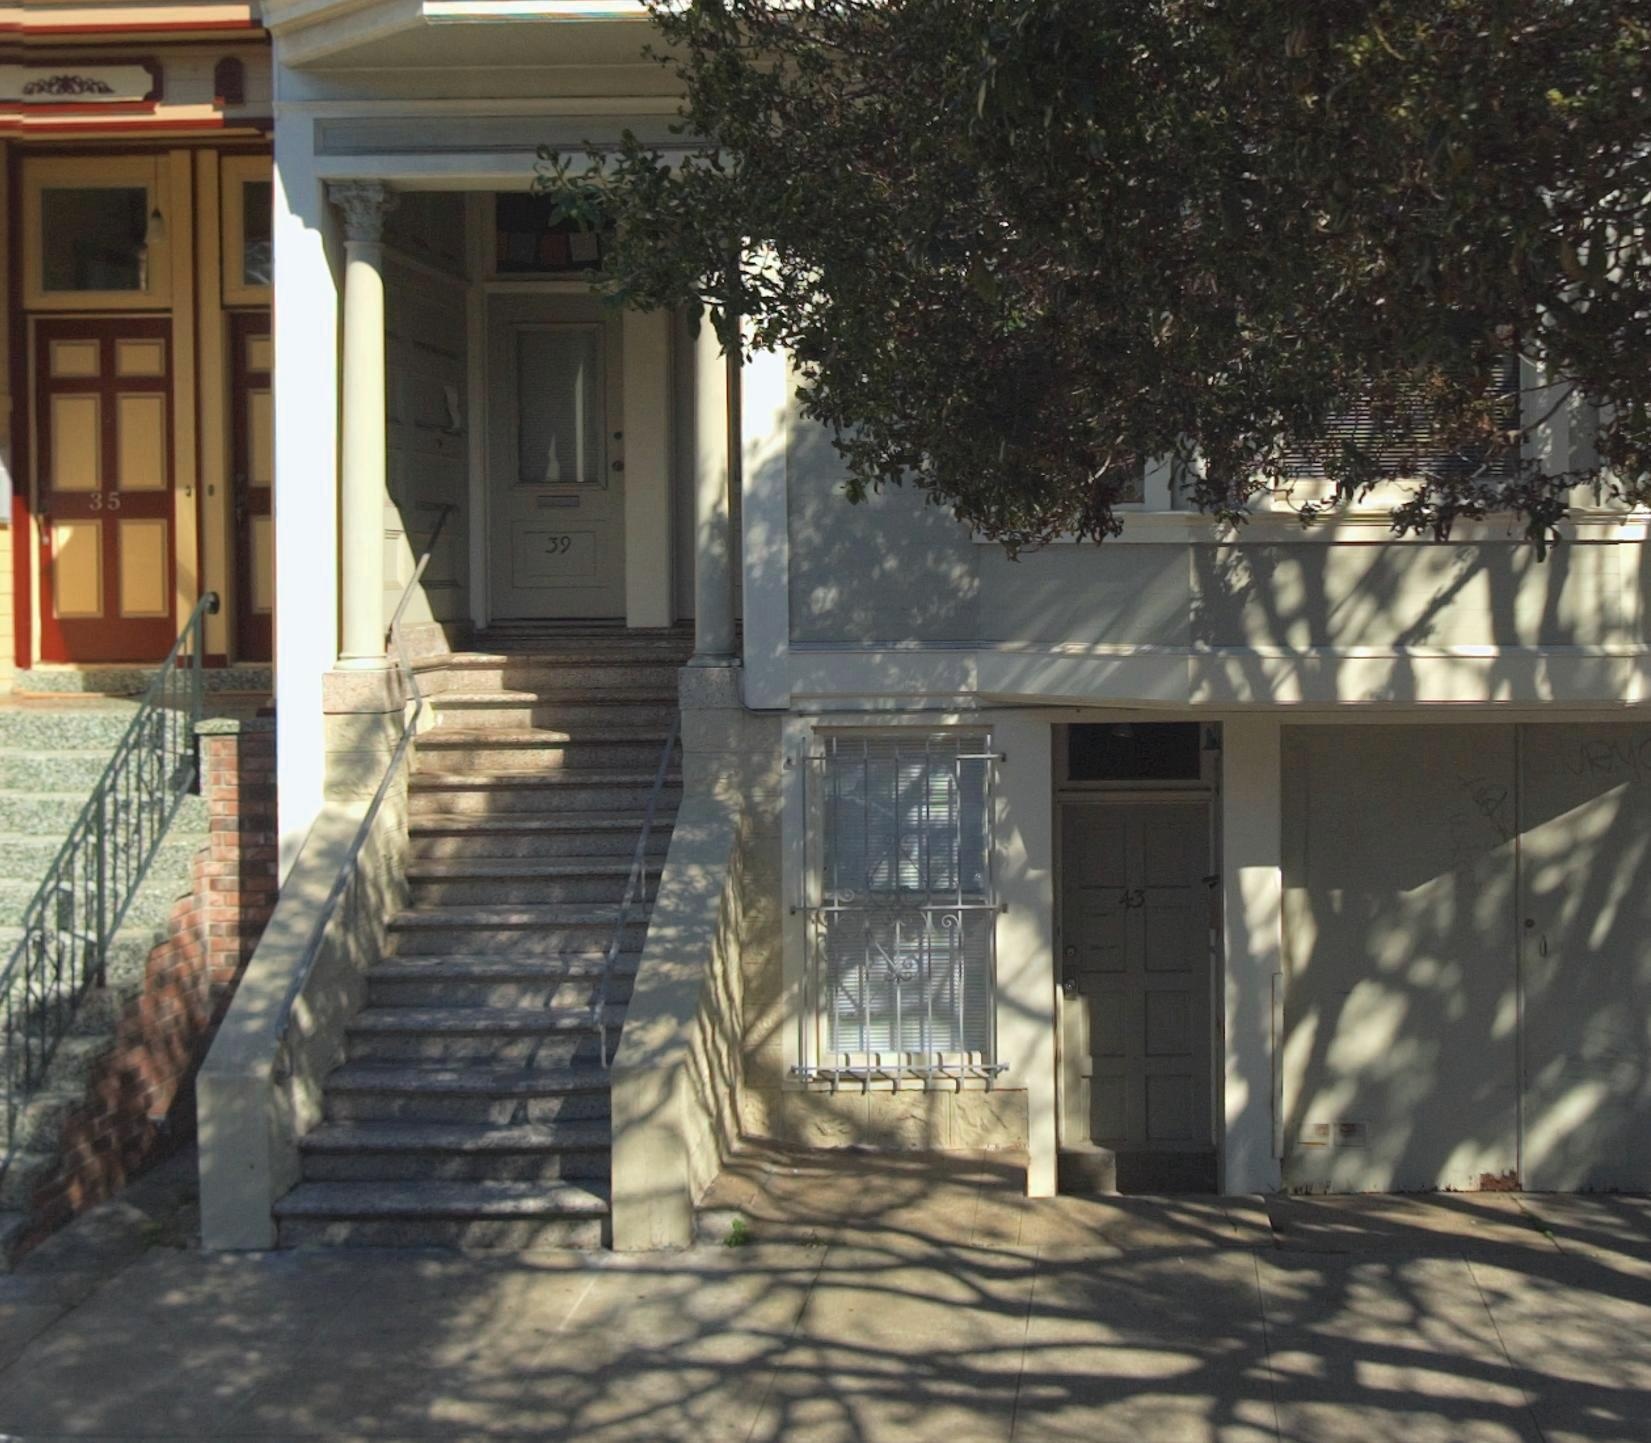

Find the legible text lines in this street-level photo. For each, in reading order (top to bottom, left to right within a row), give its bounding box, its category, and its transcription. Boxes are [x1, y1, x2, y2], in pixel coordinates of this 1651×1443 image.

[89, 490, 121, 513] StreetNumber: 35
[544, 535, 573, 555] StreetNumber: 39
[1119, 887, 1147, 911] StreetNumber: 43